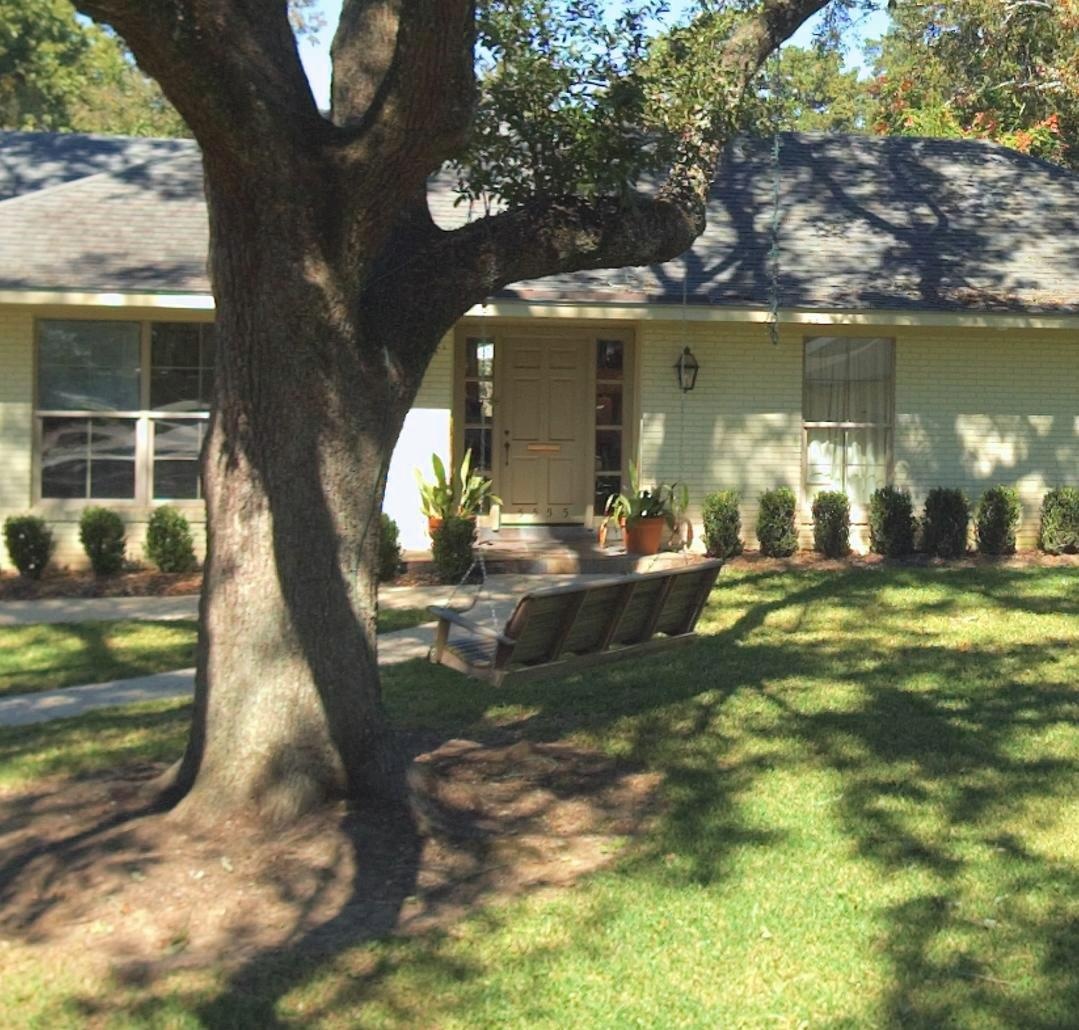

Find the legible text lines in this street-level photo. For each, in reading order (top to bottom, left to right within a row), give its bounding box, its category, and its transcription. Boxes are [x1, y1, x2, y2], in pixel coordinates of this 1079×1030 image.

[515, 505, 571, 521] StreetNumber: 5555